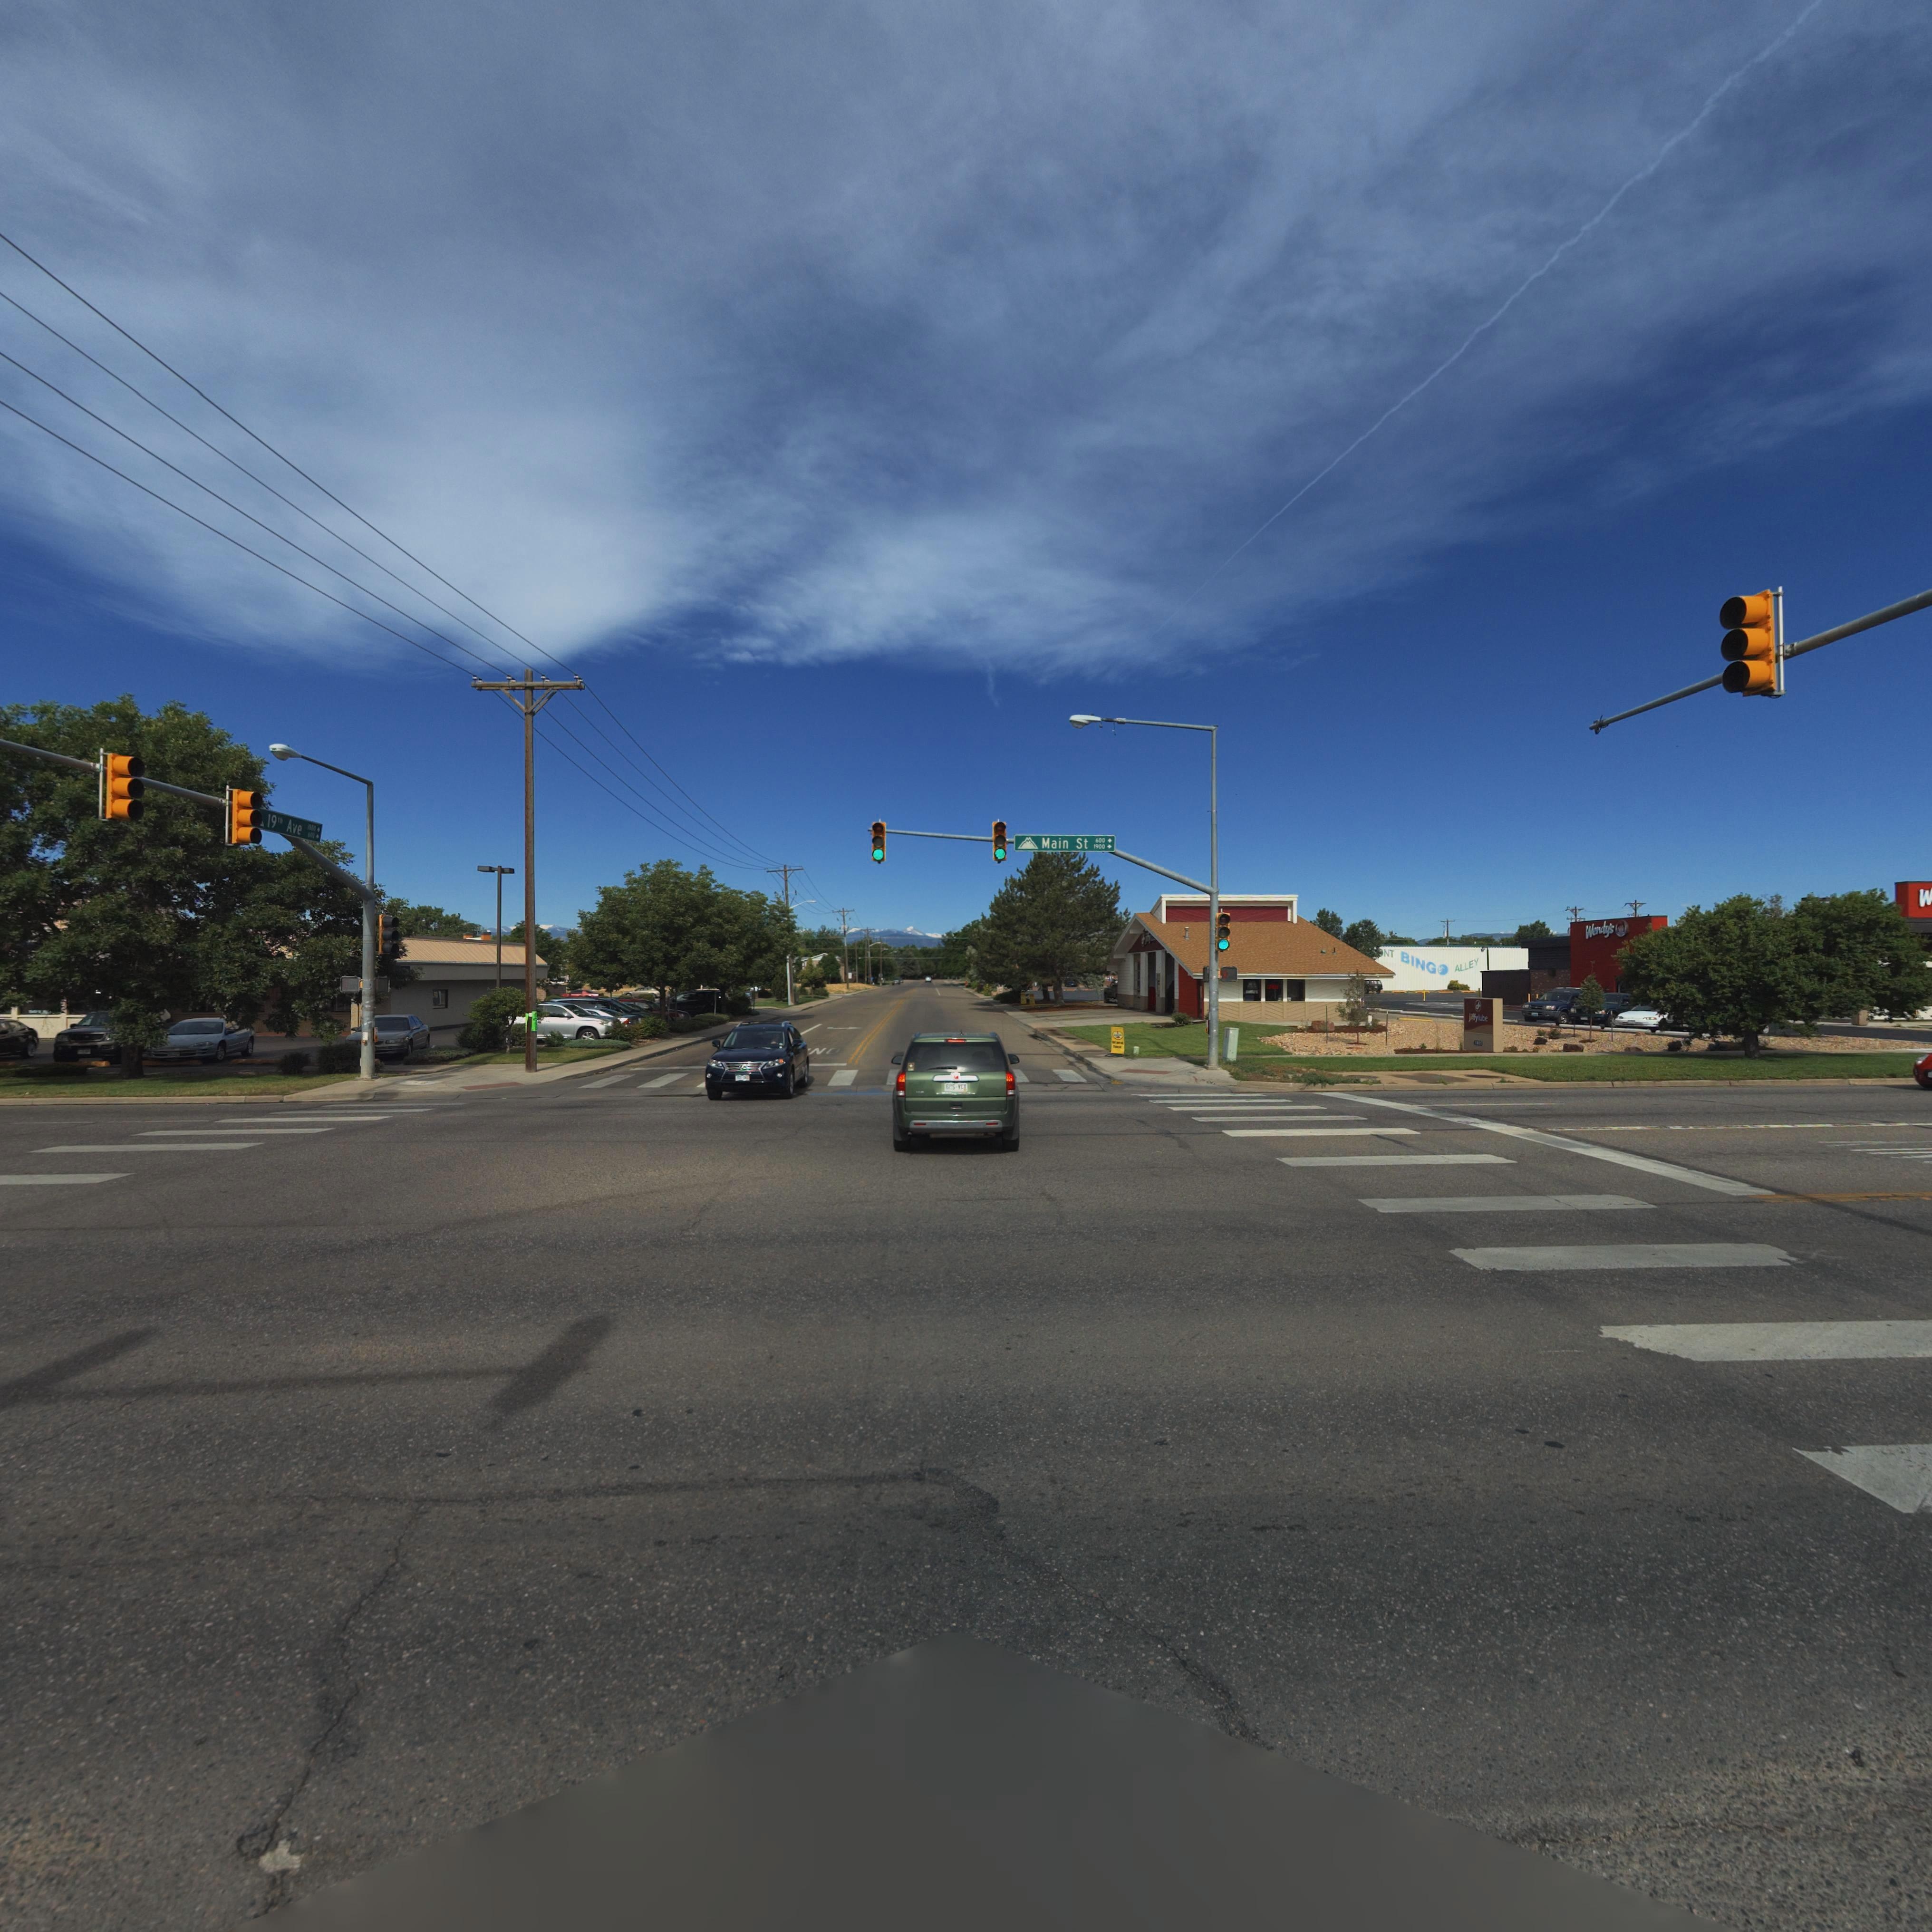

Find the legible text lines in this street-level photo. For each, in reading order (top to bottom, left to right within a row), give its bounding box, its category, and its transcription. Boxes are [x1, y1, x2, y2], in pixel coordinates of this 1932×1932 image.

[266, 812, 302, 835] StreetName: 19th Ave
[307, 823, 317, 831] StreetNumberRange: 1500
[307, 831, 319, 839] StreetNumberRange: 600 ->
[1041, 837, 1089, 849] StreetName: Main St
[1095, 837, 1106, 843] StreetNumberRange: 600
[1093, 843, 1113, 849] StreetNumberRange: 1900 ->
[1918, 889, 1931, 908] BusinessName: W
[1585, 919, 1615, 940] BusinessName: Wendy's
[1378, 948, 1479, 976] BusinessName: *NT BINGO ALLEY
[1468, 1013, 1488, 1023] BusinessName: jiffylube